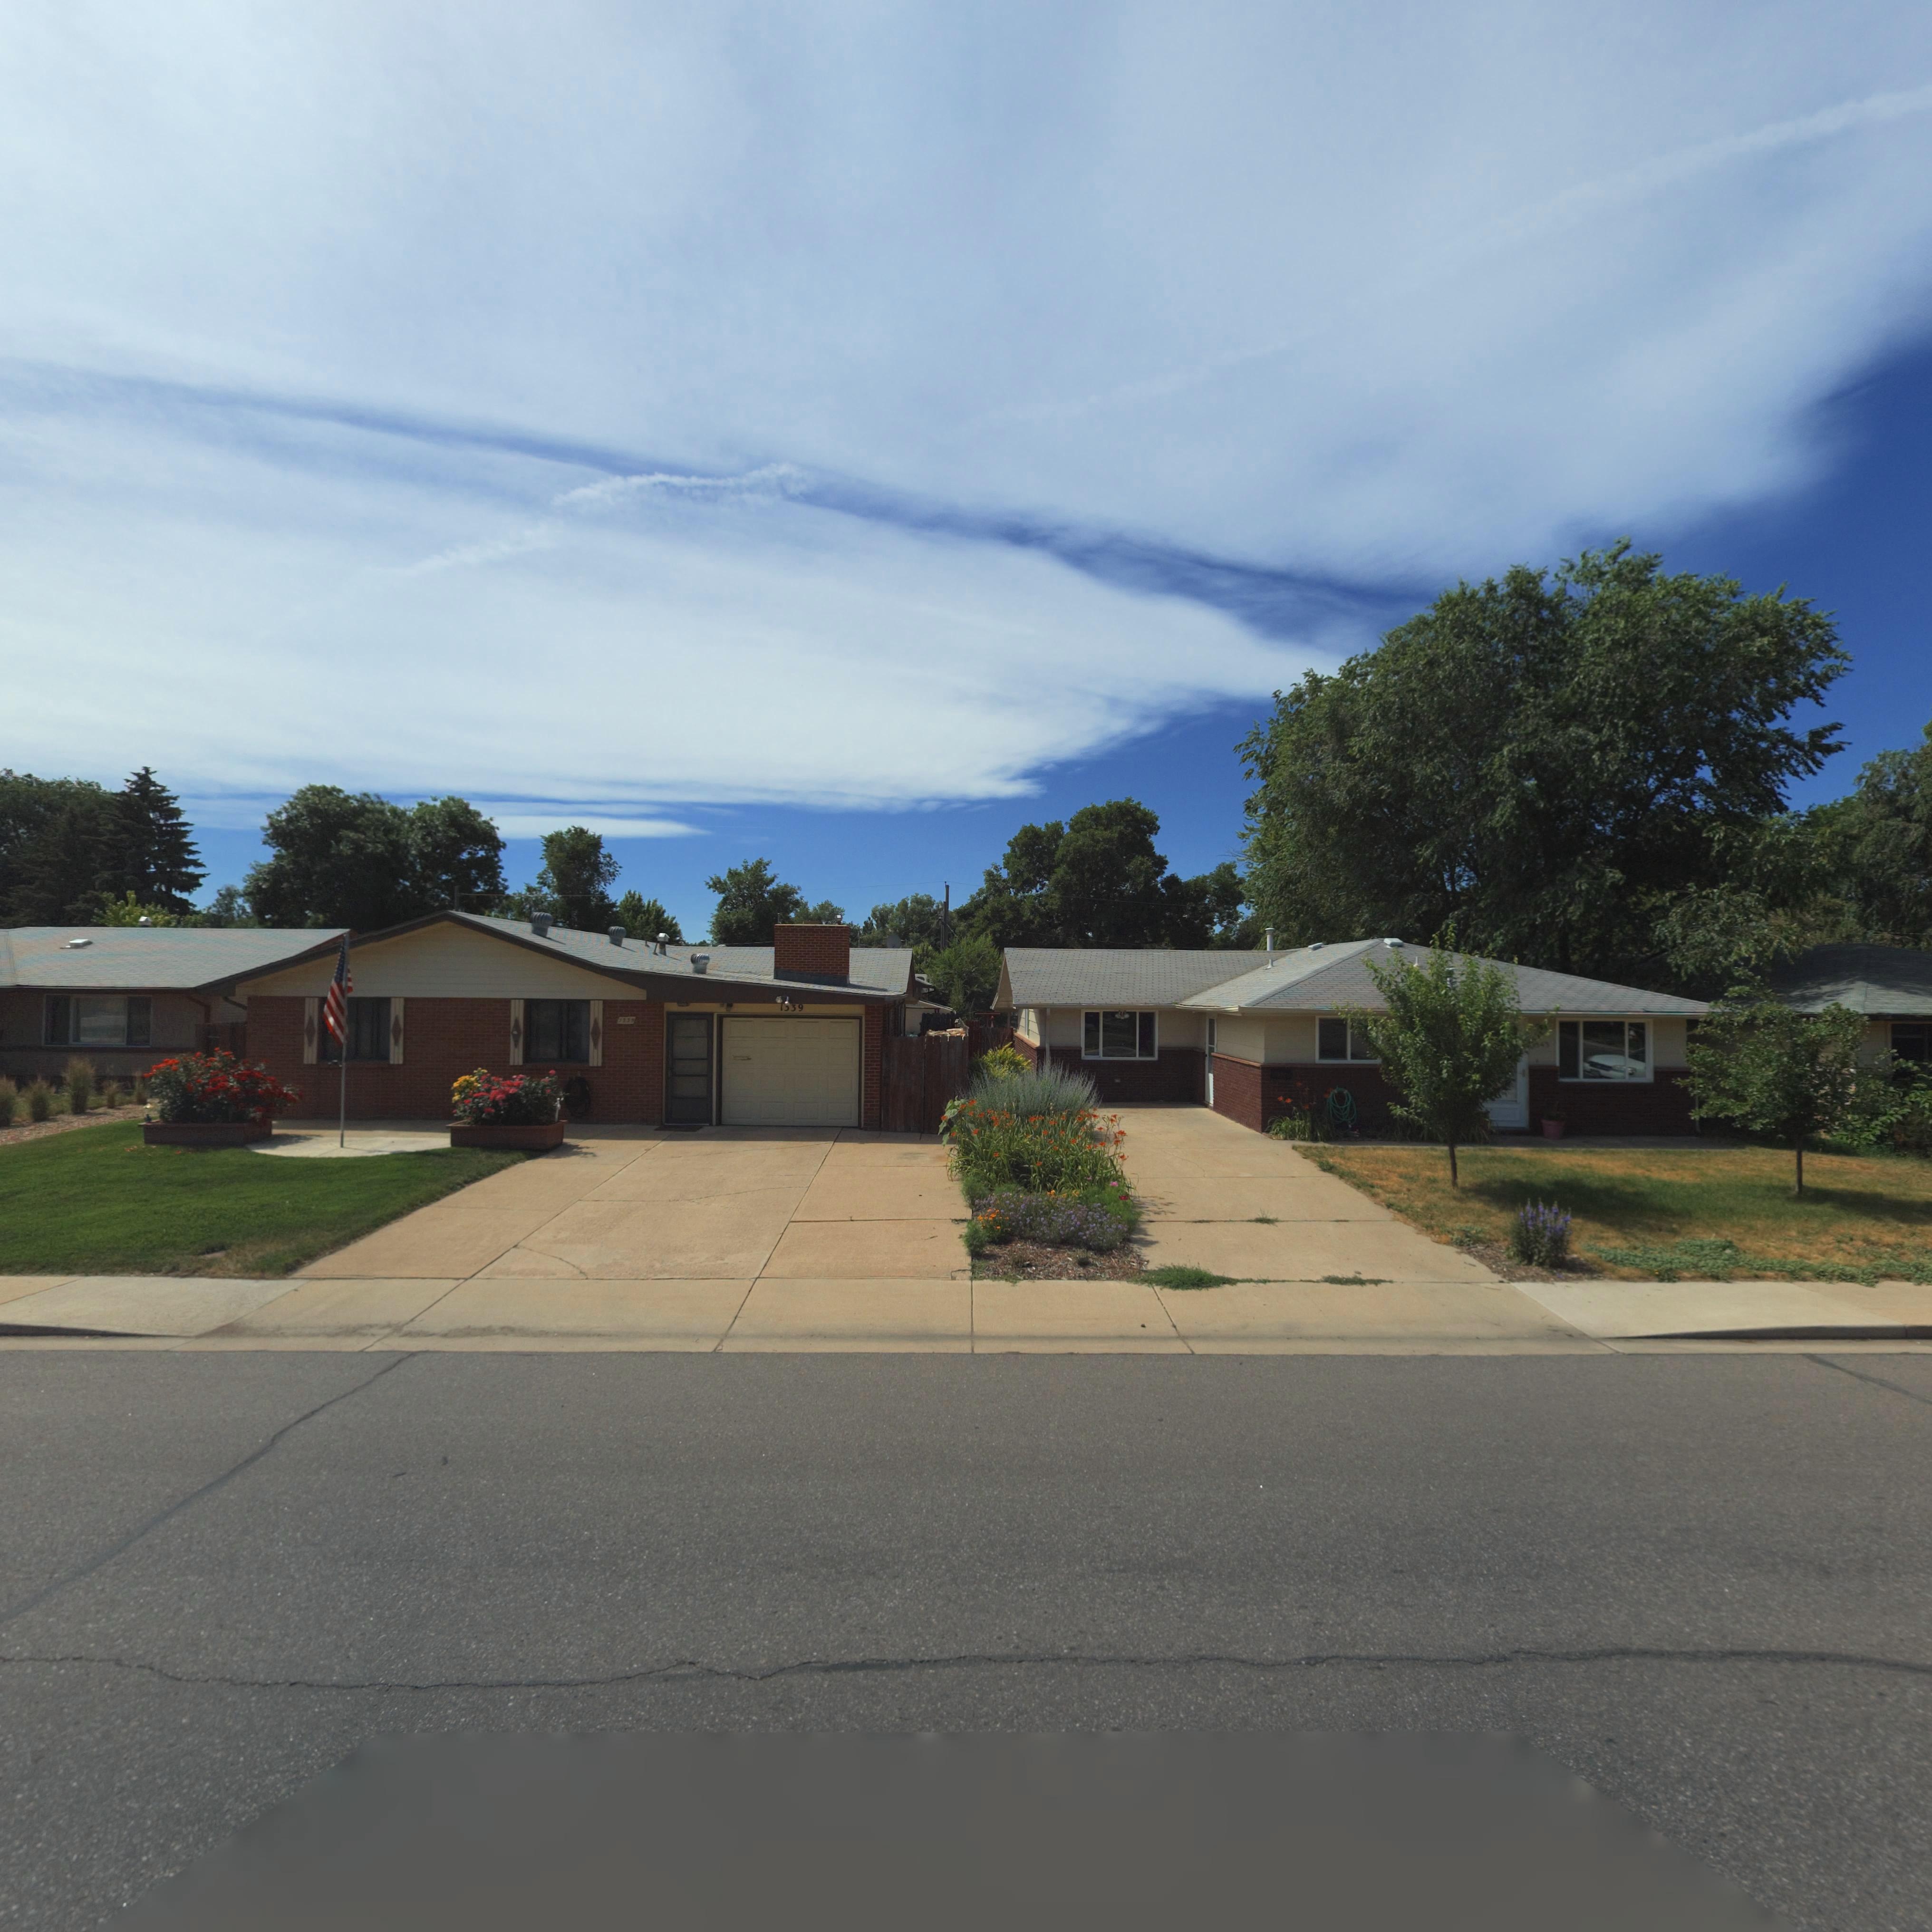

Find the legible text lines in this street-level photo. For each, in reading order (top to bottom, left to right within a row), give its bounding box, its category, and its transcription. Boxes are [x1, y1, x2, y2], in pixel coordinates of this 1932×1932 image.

[780, 1003, 803, 1012] StreetNumber: 1339
[618, 1017, 634, 1023] StreetNumber: 1339
[1532, 1041, 1549, 1048] StreetNumber: *343